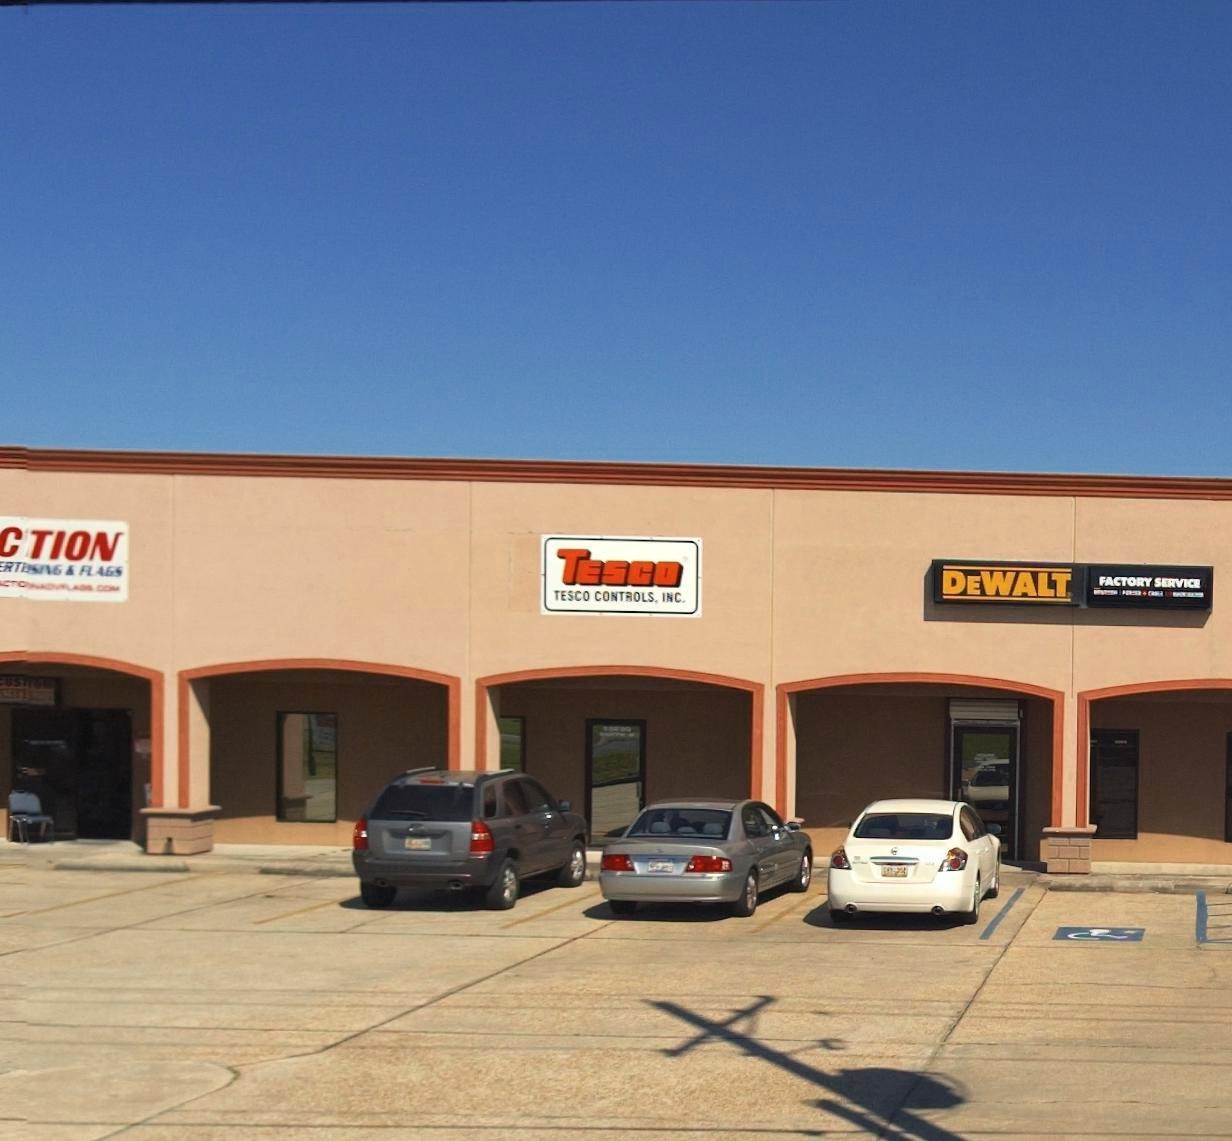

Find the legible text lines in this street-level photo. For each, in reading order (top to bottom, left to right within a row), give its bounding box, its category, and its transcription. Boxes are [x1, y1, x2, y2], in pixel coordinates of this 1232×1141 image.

[26, 526, 128, 565] BusinessName: TION
[1, 557, 125, 580] BusinessName: RT***** & FLAGS
[553, 545, 683, 588] BusinessName: TESCO
[1, 576, 29, 590] None: CT*
[940, 567, 1074, 599] BusinessName: DEWALT
[1096, 573, 1203, 591] None: FACTORY SERVICE
[549, 587, 690, 607] BusinessName: TESCO CONTROLS, INC.